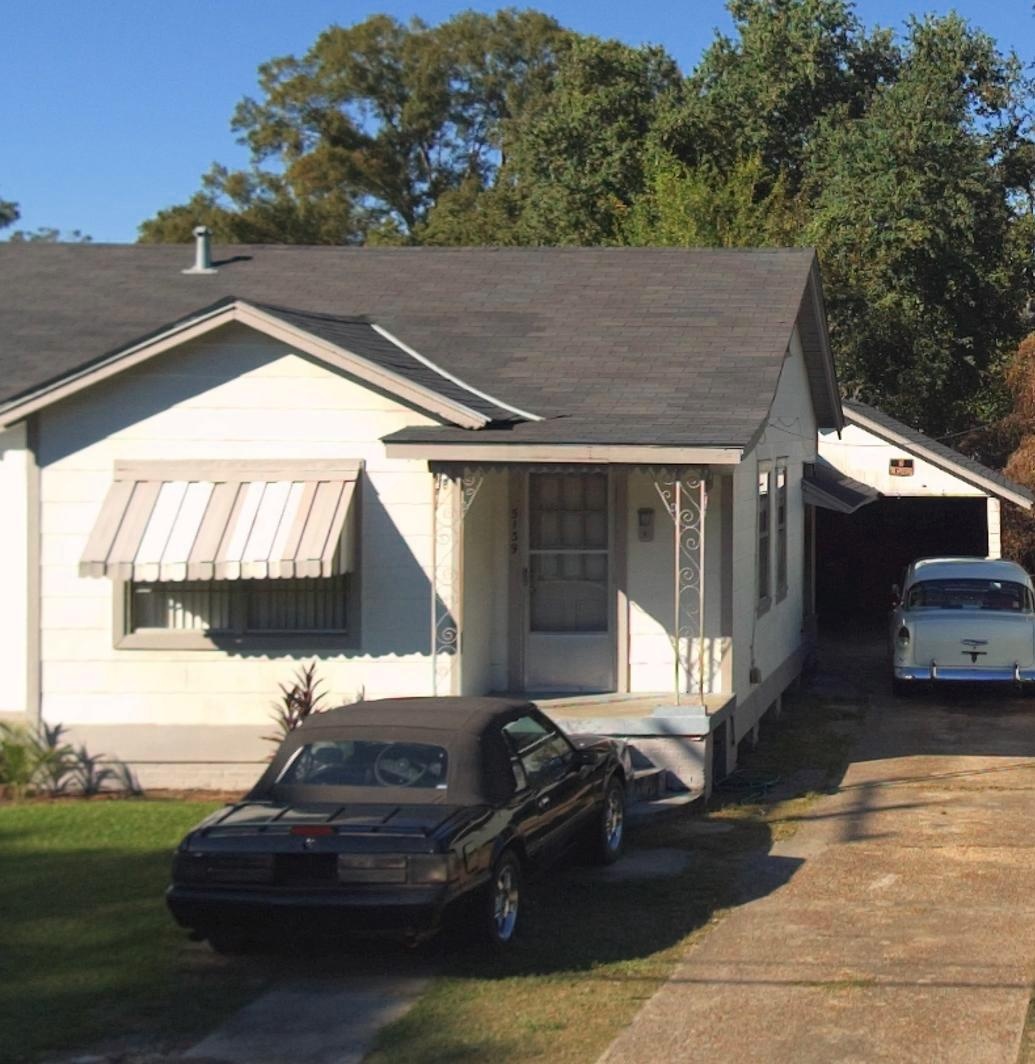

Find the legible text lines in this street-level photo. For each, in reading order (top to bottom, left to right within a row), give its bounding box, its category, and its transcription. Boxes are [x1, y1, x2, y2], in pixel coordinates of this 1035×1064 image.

[509, 507, 519, 556] StreetNumber: 5139